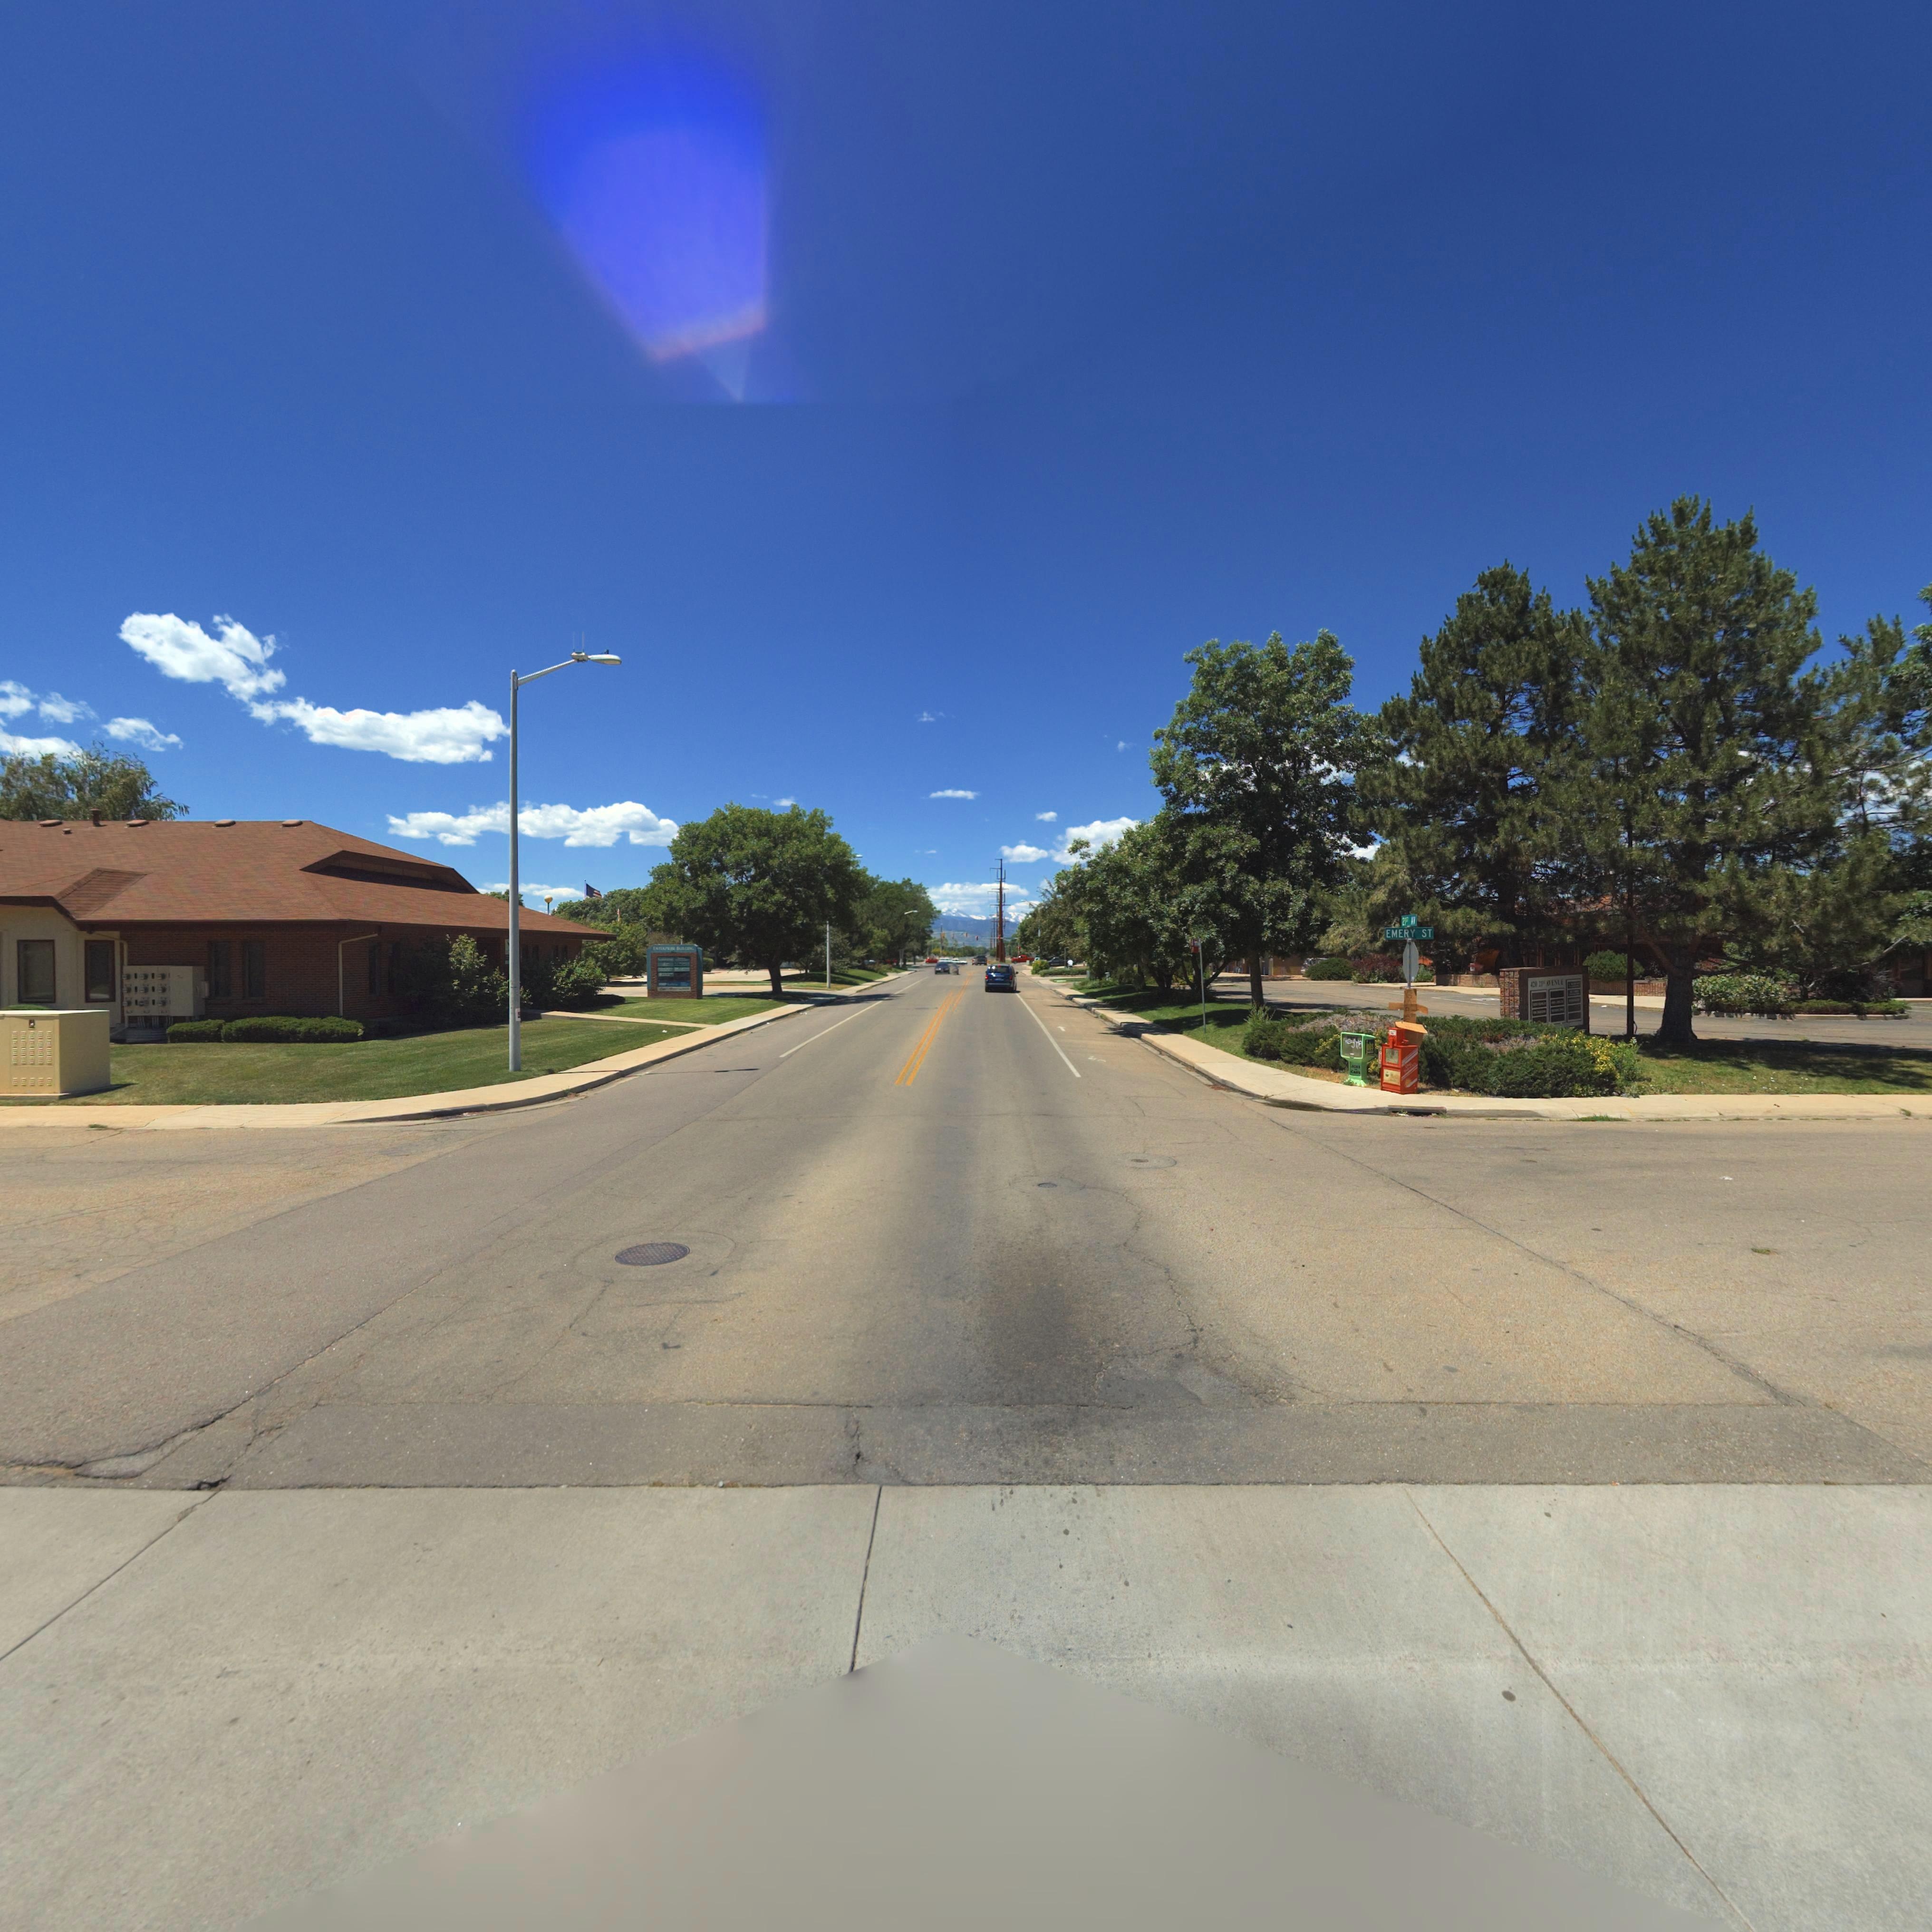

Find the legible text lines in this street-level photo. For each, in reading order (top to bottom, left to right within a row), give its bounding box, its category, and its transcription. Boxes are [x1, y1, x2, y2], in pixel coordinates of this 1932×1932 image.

[1402, 916, 1416, 926] StreetName: 21** AV
[1386, 928, 1432, 938] StreetName: EMERY ST
[657, 982, 667, 986] BusinessName: **P
[1530, 981, 1537, 987] StreetNumber: 420
[1538, 978, 1564, 987] StreetName: 21** AVENUE